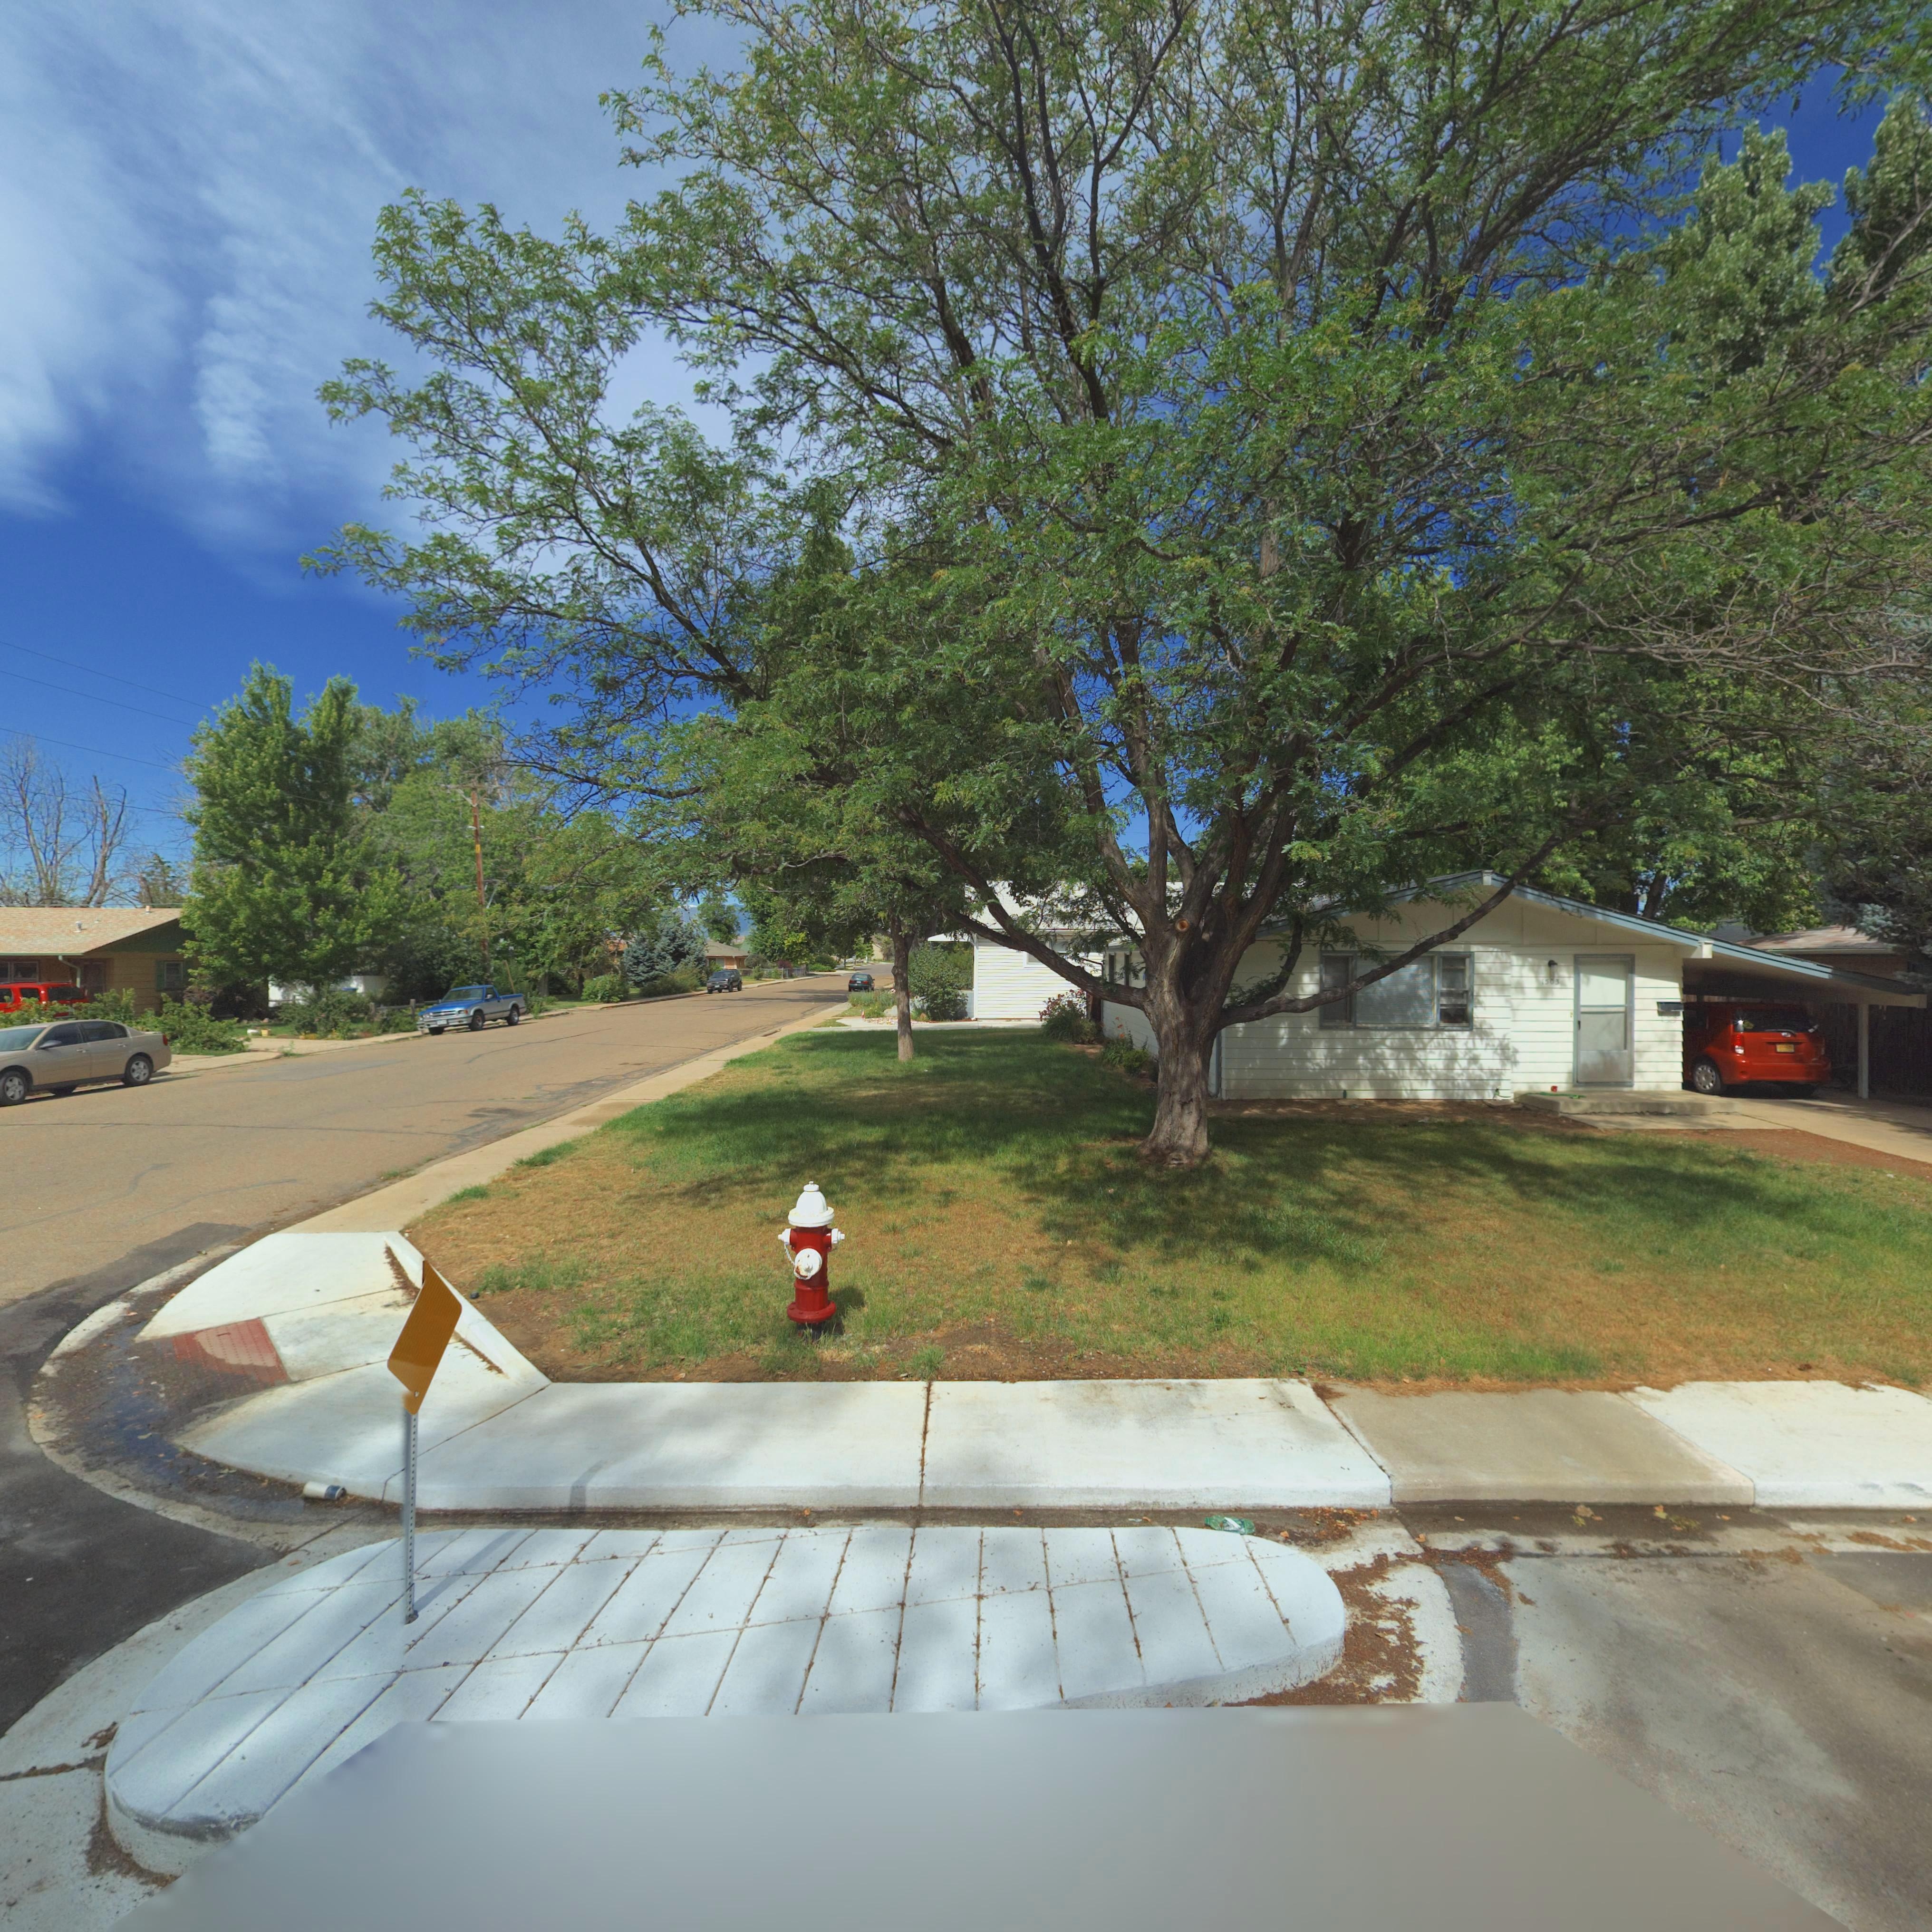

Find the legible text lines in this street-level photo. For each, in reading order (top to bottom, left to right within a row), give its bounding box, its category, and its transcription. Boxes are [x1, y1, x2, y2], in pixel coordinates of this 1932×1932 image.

[1541, 978, 1559, 985] StreetNumber: 1503